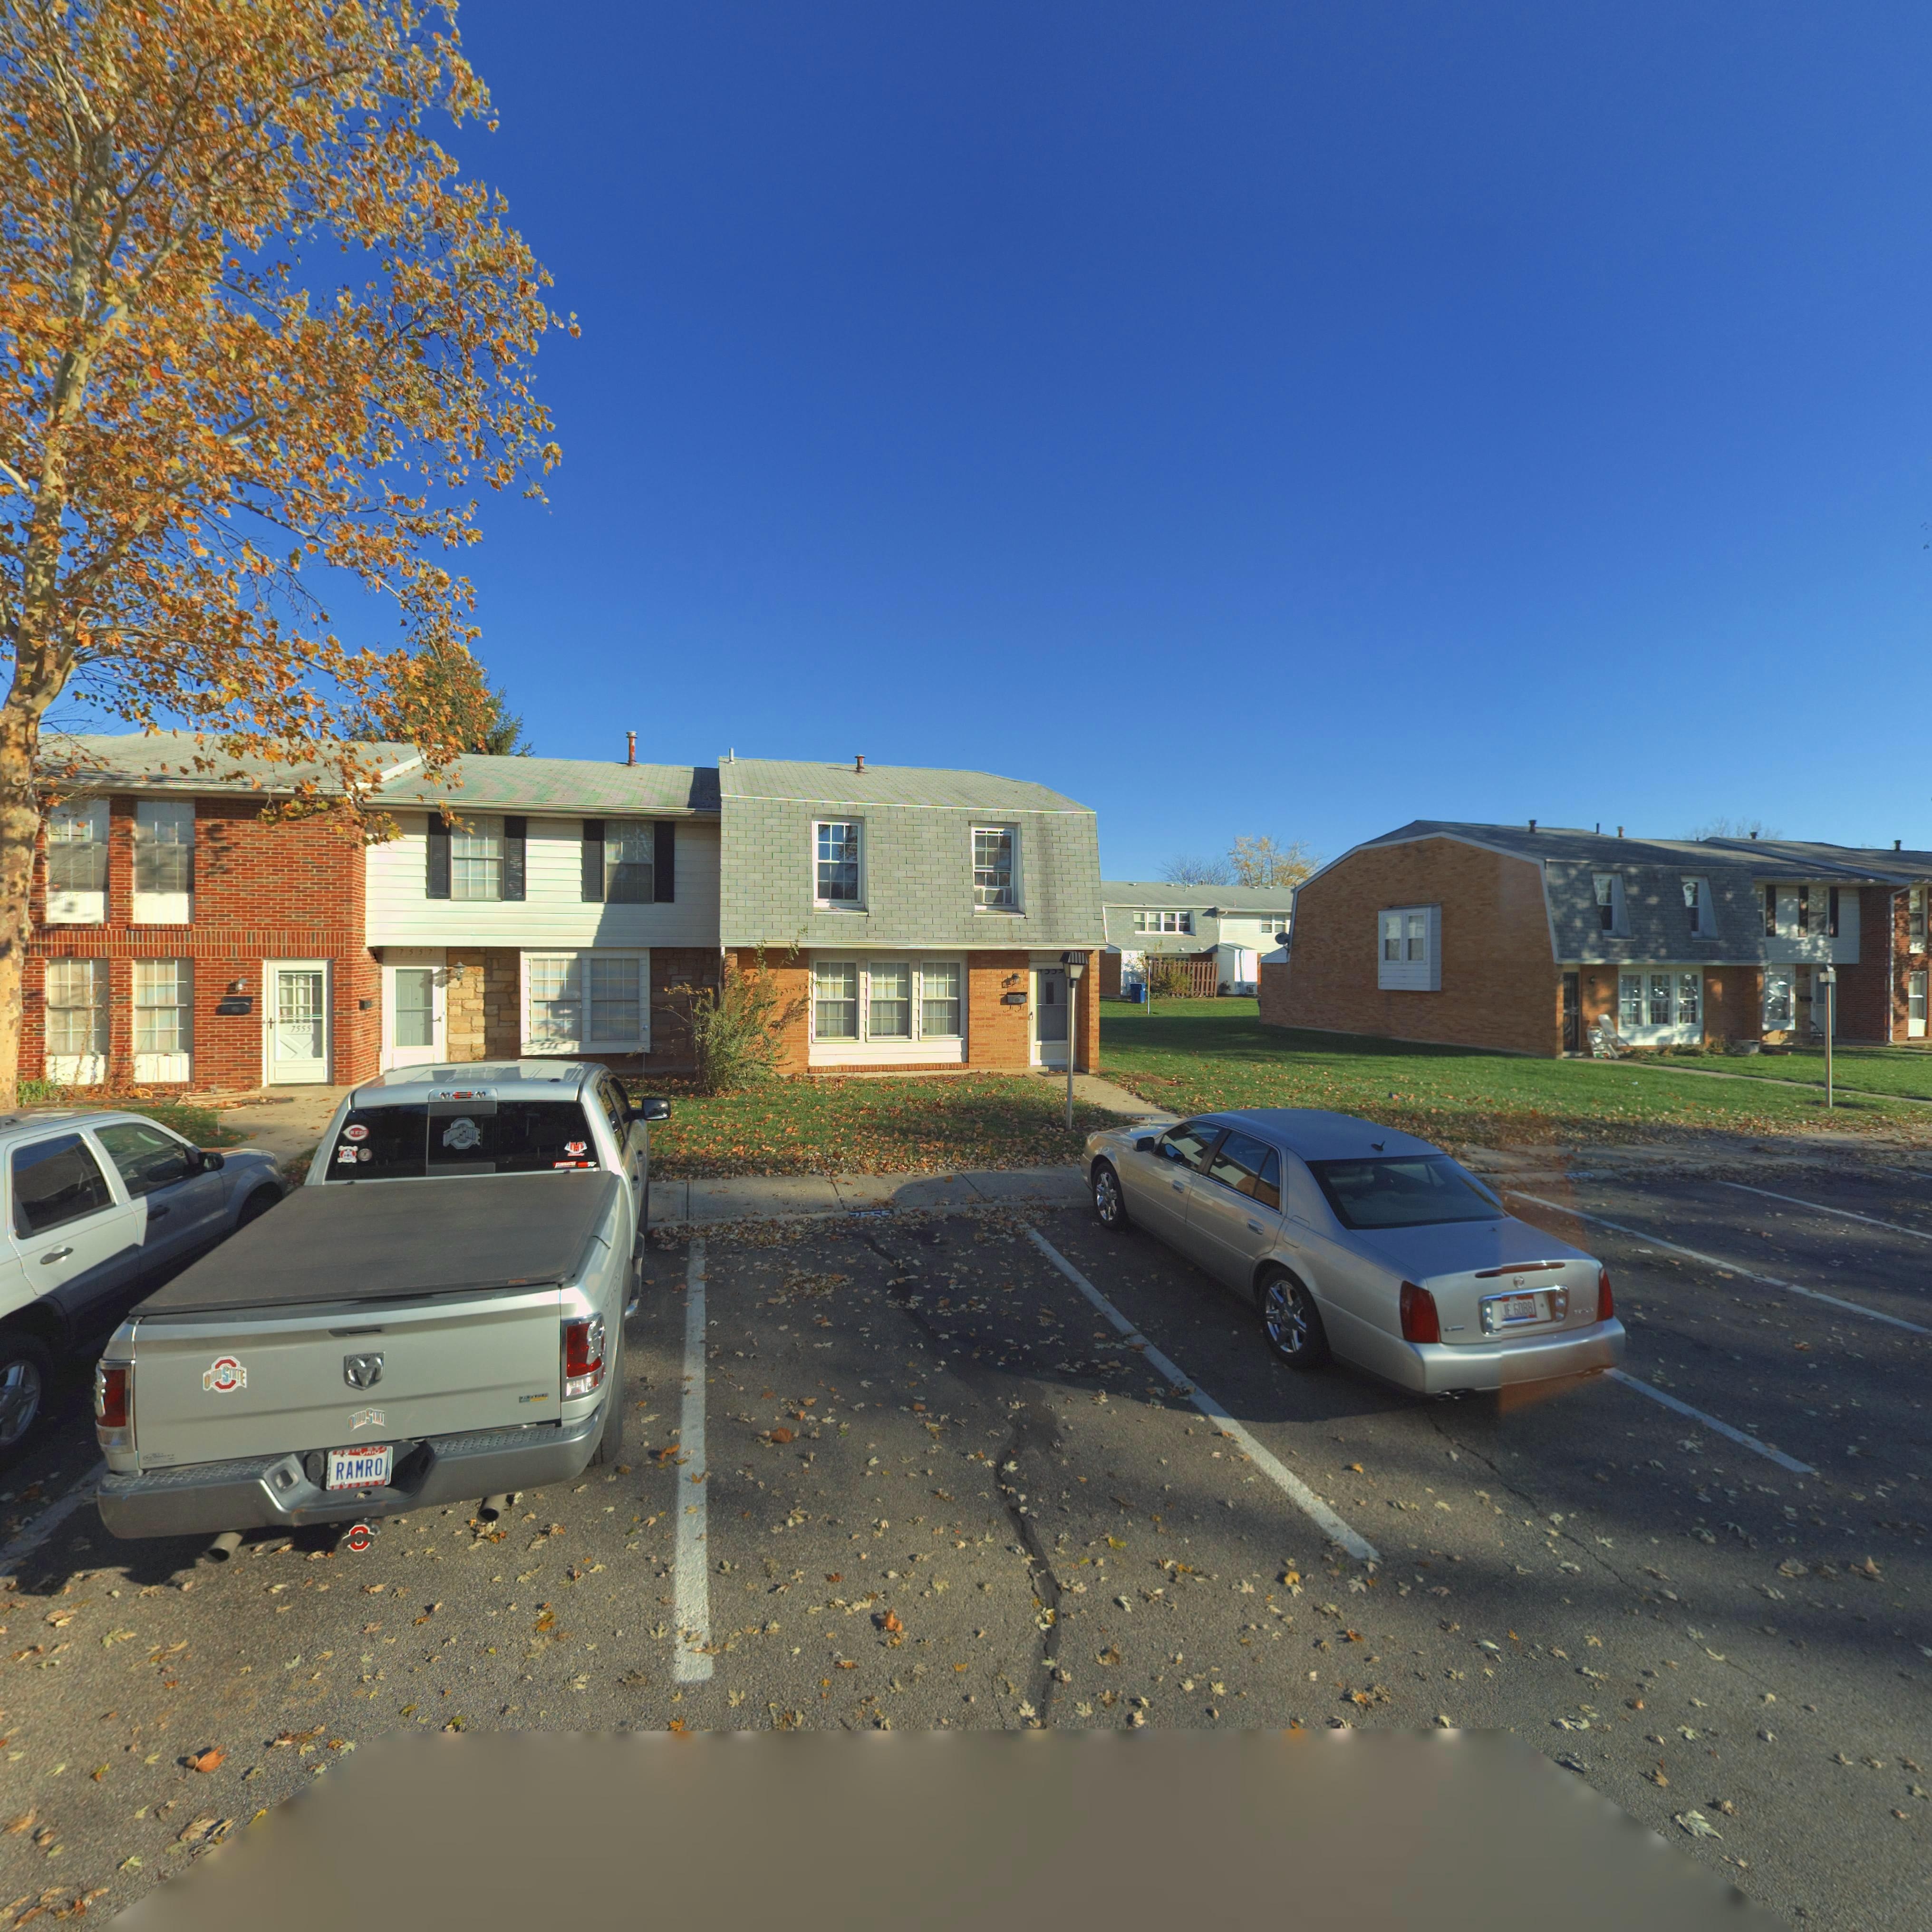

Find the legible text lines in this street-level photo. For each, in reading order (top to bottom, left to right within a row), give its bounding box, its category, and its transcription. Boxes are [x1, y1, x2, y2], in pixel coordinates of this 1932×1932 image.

[398, 948, 433, 956] StreetNumber: 7557
[290, 1024, 312, 1033] StreetNumber: 7555
[1562, 1171, 1597, 1181] StreetNumber: 75**